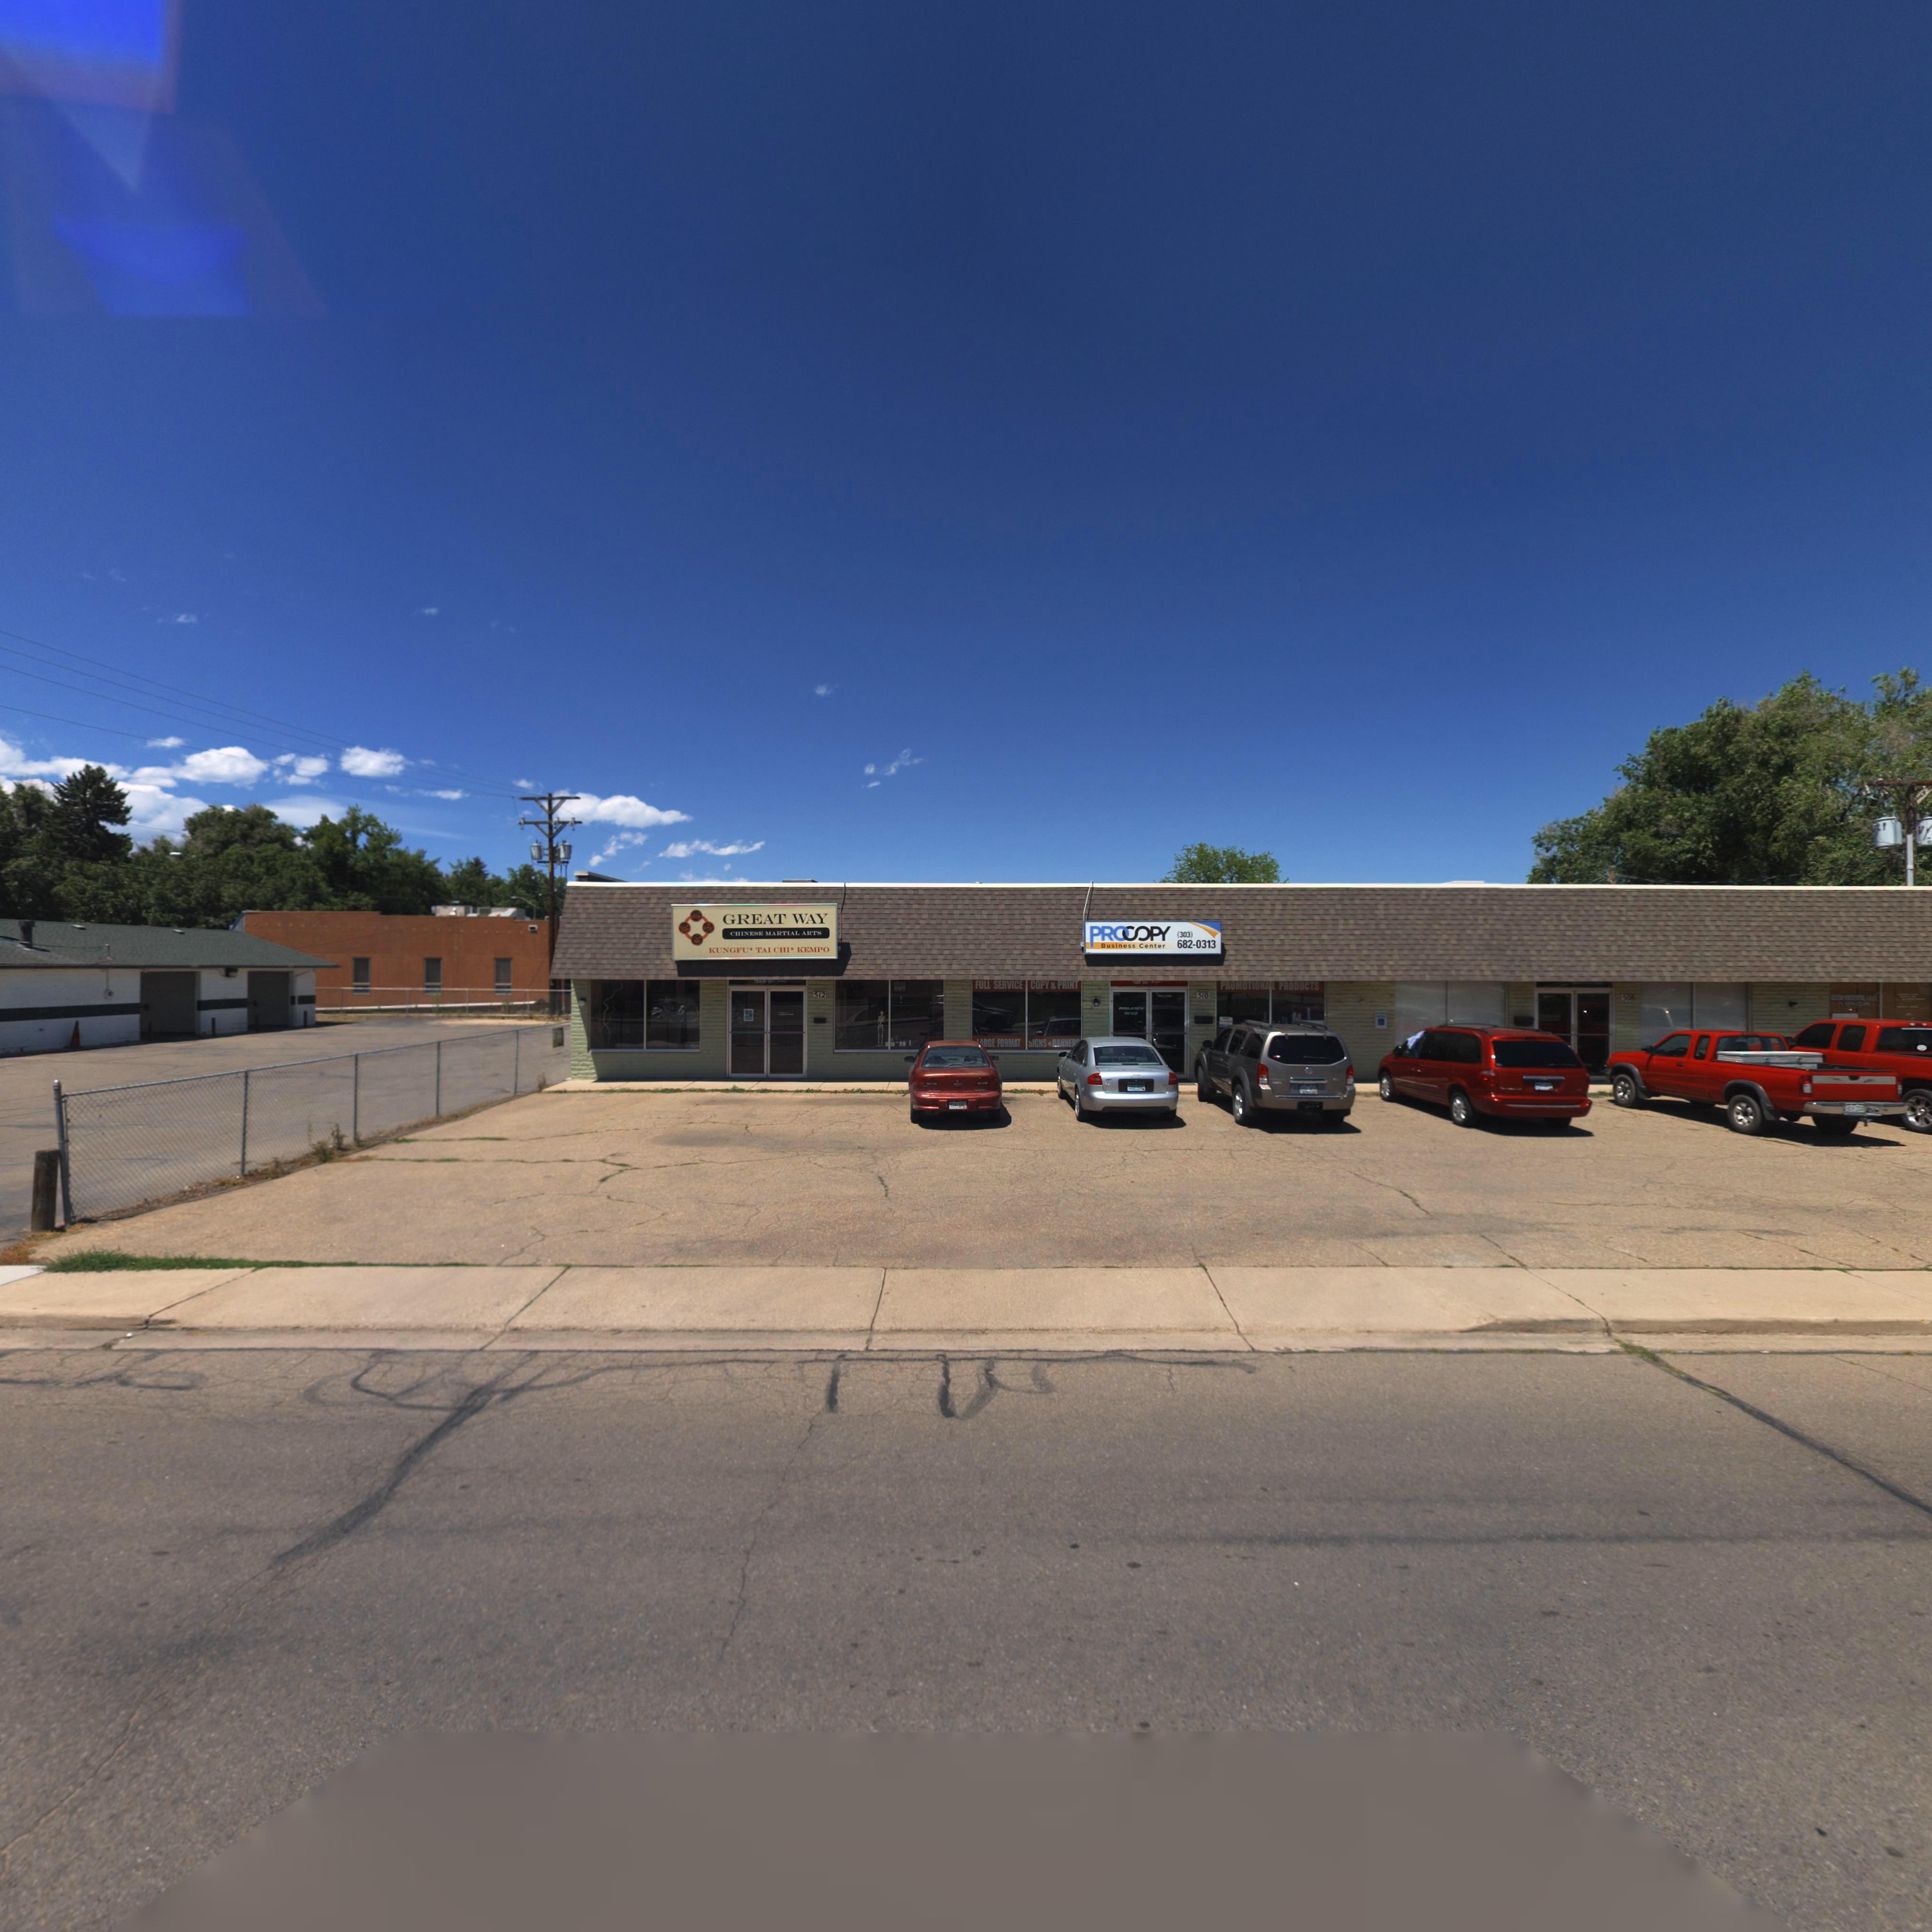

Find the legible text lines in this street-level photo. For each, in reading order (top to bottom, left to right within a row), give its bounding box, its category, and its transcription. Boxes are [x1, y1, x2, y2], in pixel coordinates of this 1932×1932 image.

[721, 912, 829, 925] BusinessName: GREAT WAY
[730, 930, 822, 936] BusinessName: CHINESE MARTIAL ARTS
[1089, 926, 1171, 948] BusinessName: PR**OPY
[753, 979, 766, 984] StreetNumber: 512
[813, 991, 826, 998] StreetNumber: 512
[1197, 992, 1208, 999] StreetNumber: 510
[1622, 994, 1635, 1001] StreetNumber: 508